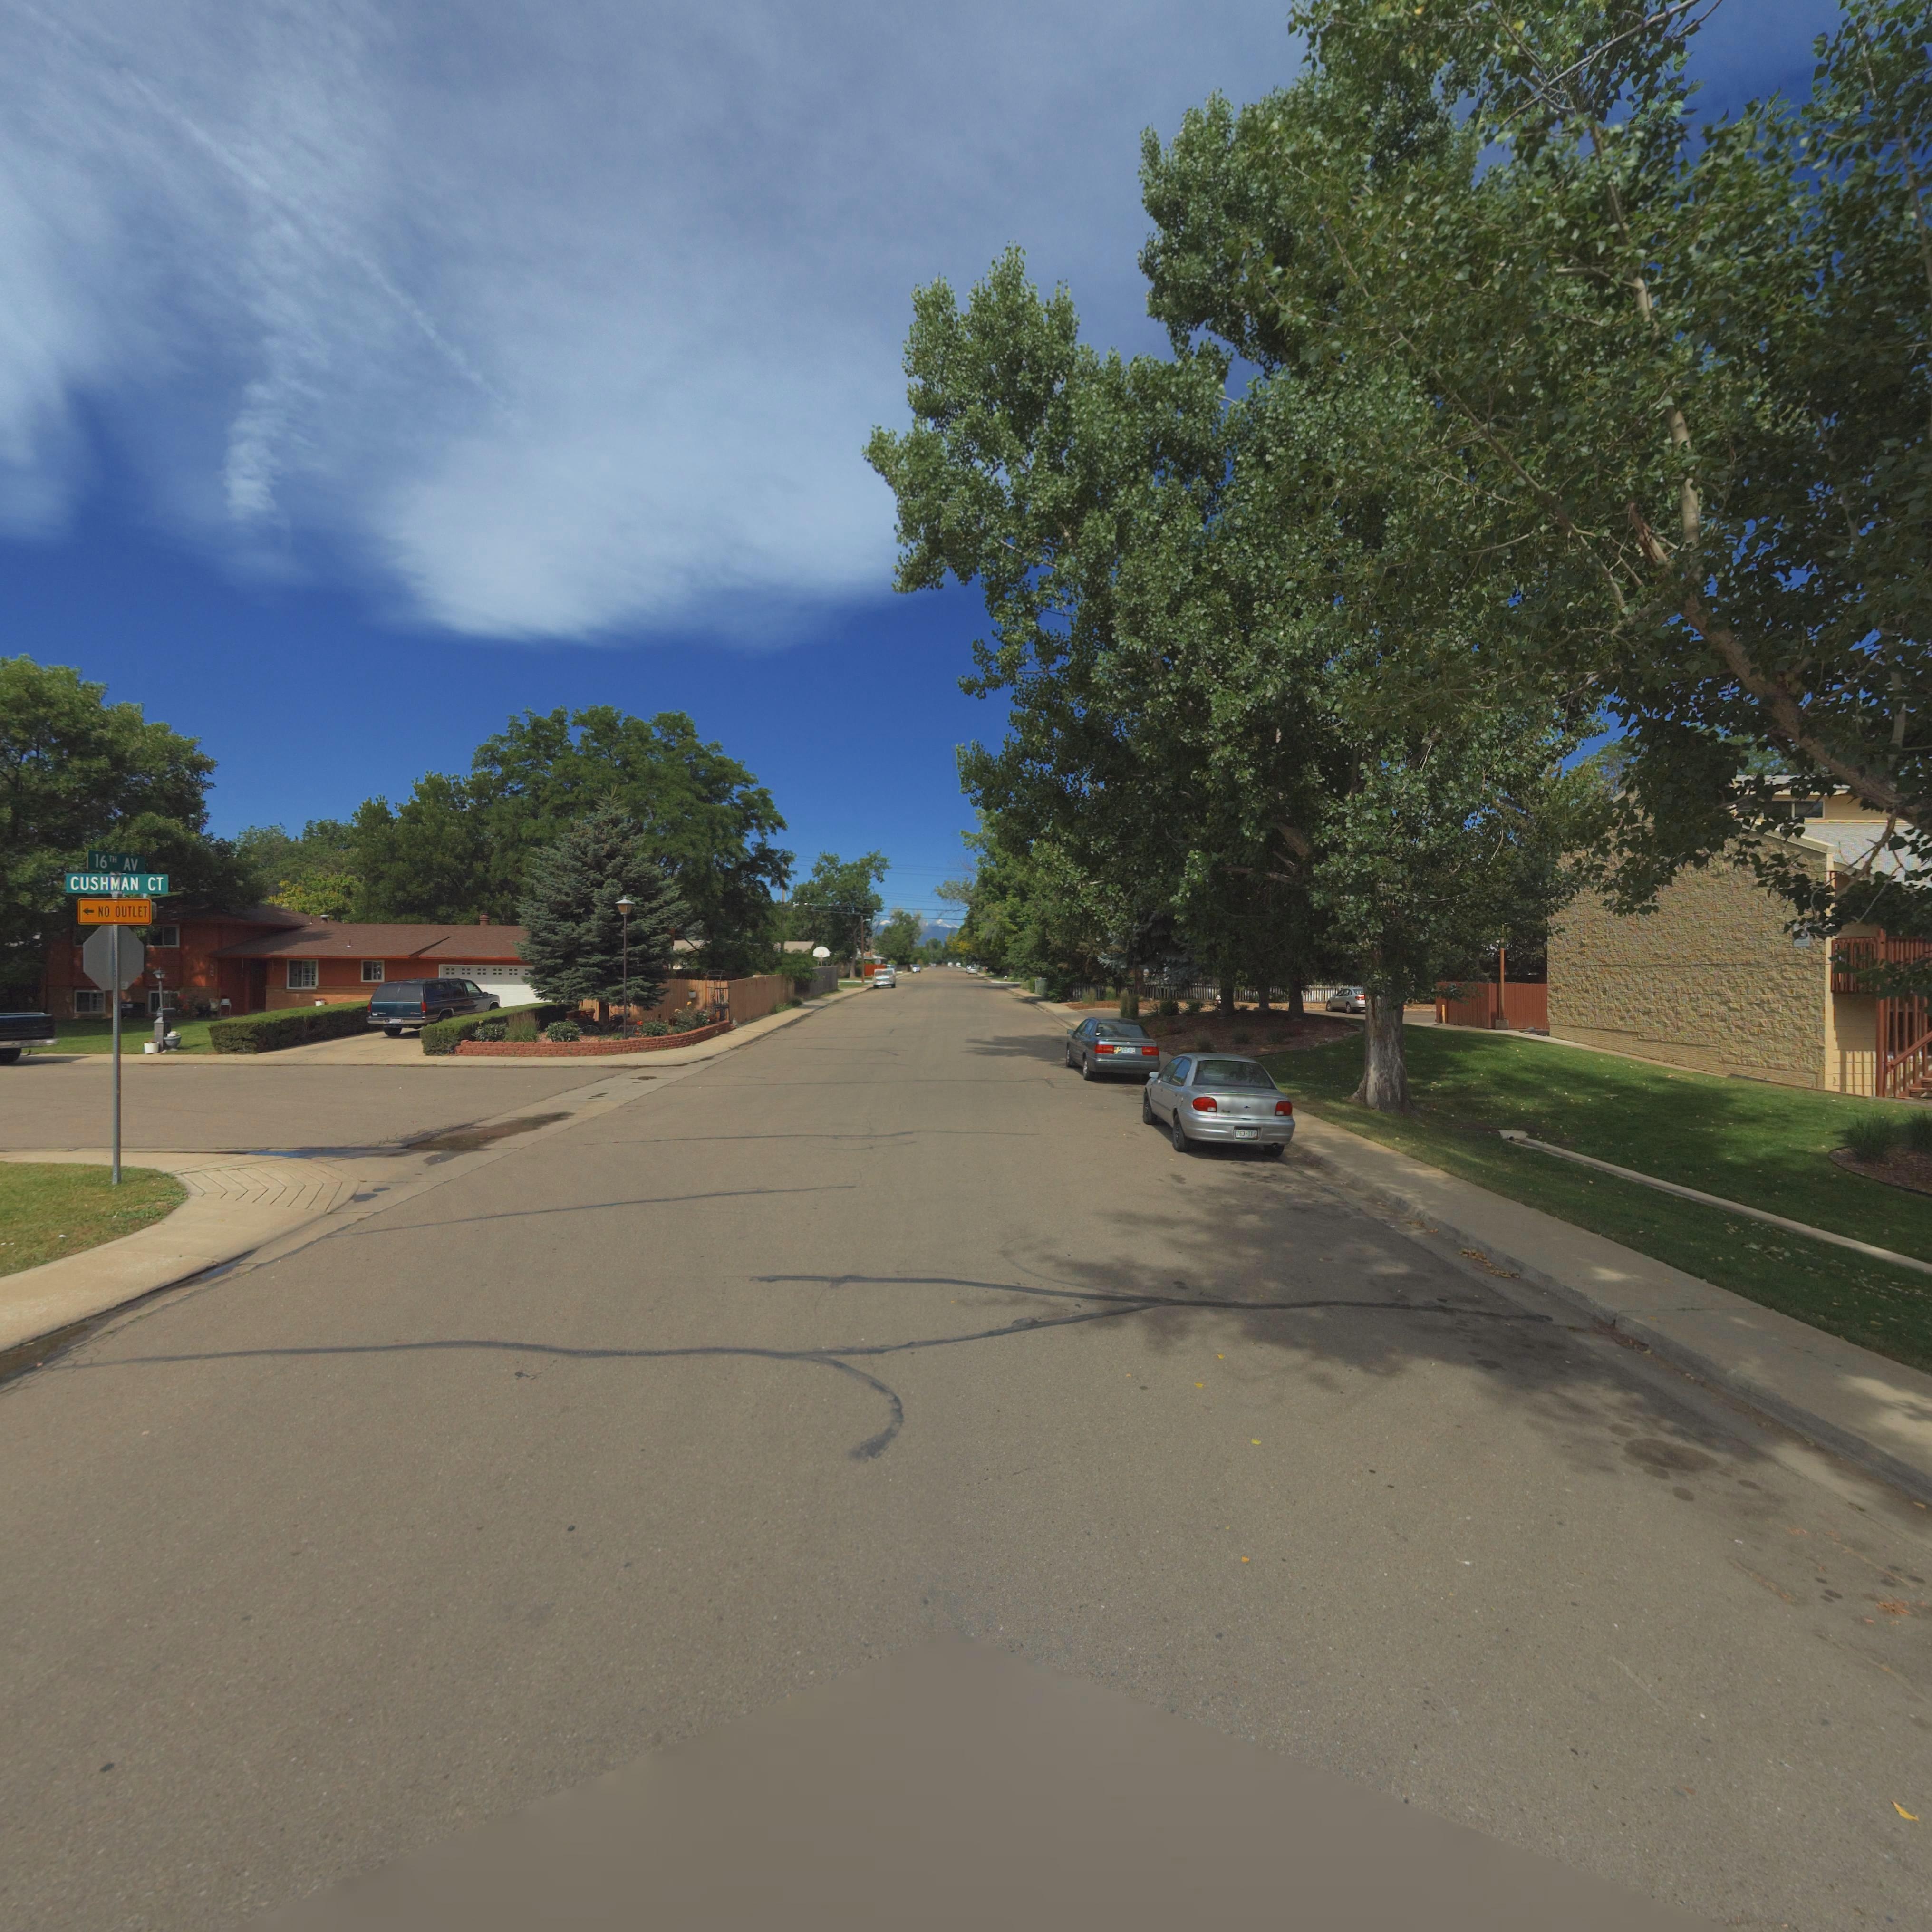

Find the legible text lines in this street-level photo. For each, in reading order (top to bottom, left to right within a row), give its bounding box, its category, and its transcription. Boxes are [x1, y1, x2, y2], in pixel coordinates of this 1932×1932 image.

[95, 853, 138, 871] StreetName: 16TH AV
[70, 876, 164, 891] StreetName: CUSHMAN CT